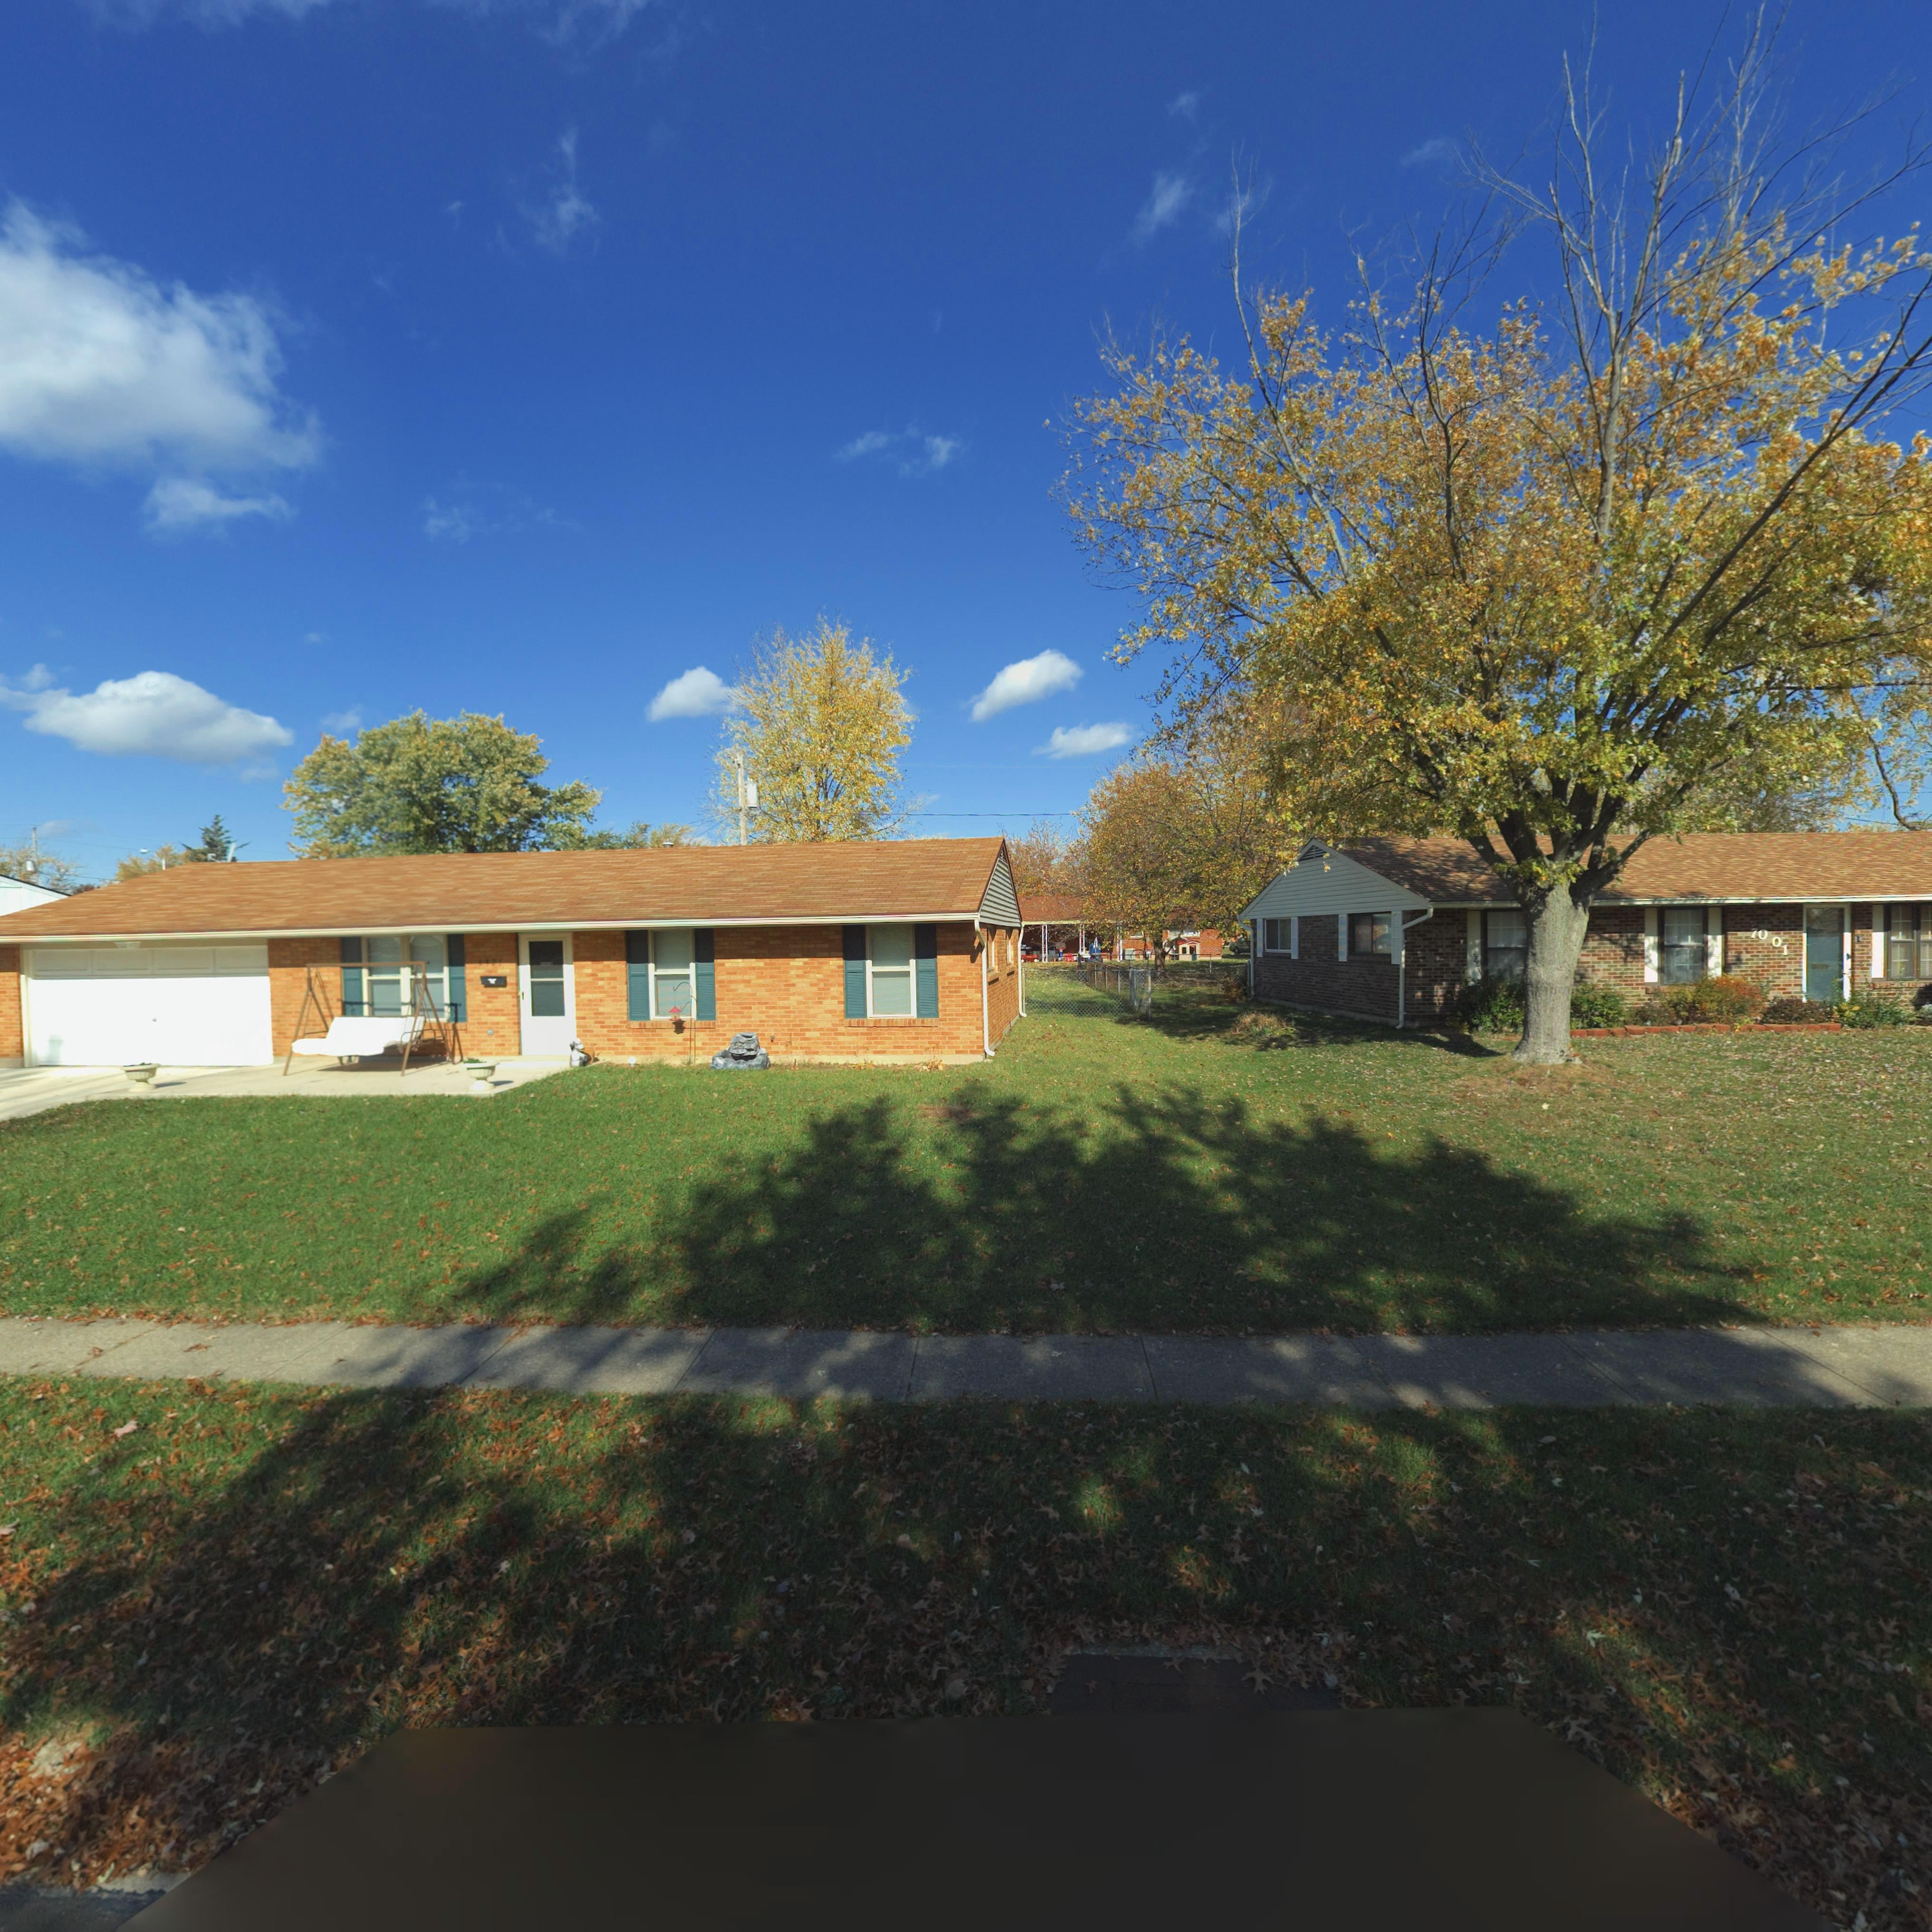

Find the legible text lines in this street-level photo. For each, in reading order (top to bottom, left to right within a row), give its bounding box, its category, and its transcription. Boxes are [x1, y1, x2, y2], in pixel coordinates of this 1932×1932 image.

[1749, 927, 1789, 957] StreetNumber: 7001
[478, 957, 503, 967] StreetNumber: 6921